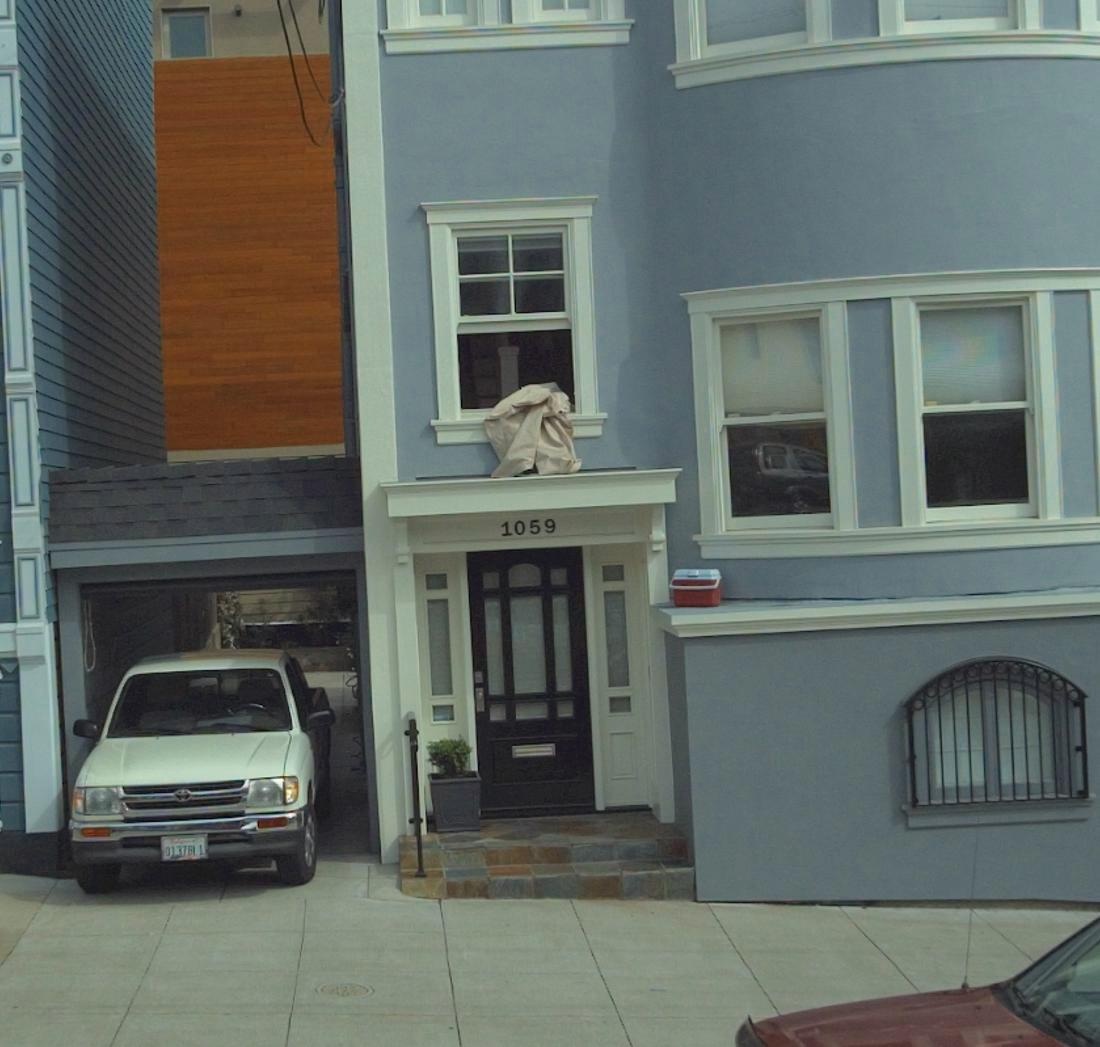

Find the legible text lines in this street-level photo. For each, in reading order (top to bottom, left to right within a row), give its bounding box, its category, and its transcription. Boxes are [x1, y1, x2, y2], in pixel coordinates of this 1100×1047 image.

[500, 518, 557, 537] StreetNumber: 1059
[164, 844, 205, 857] None: 013TBL1